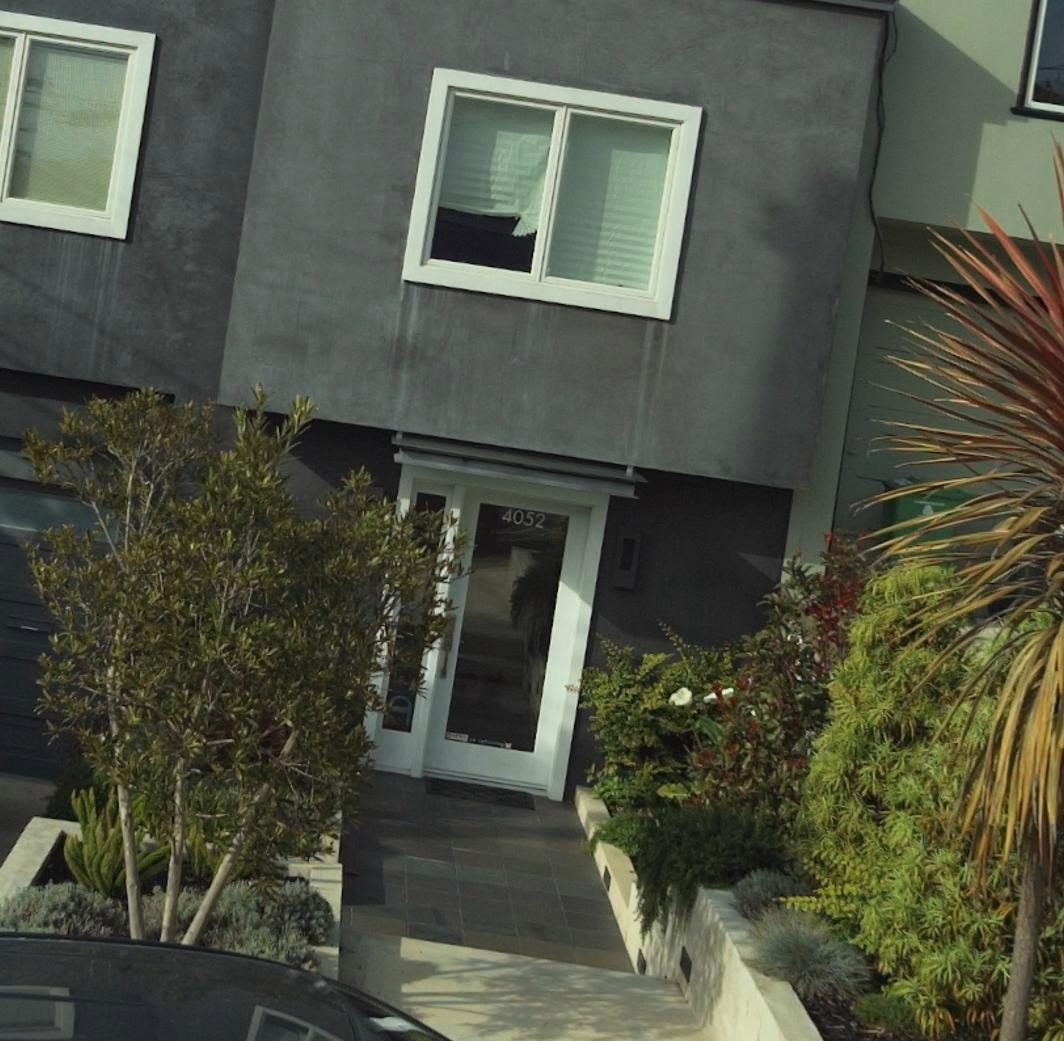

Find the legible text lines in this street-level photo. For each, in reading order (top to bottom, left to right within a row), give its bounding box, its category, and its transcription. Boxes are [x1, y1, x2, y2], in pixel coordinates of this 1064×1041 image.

[498, 508, 547, 530] StreetNumber: 4052